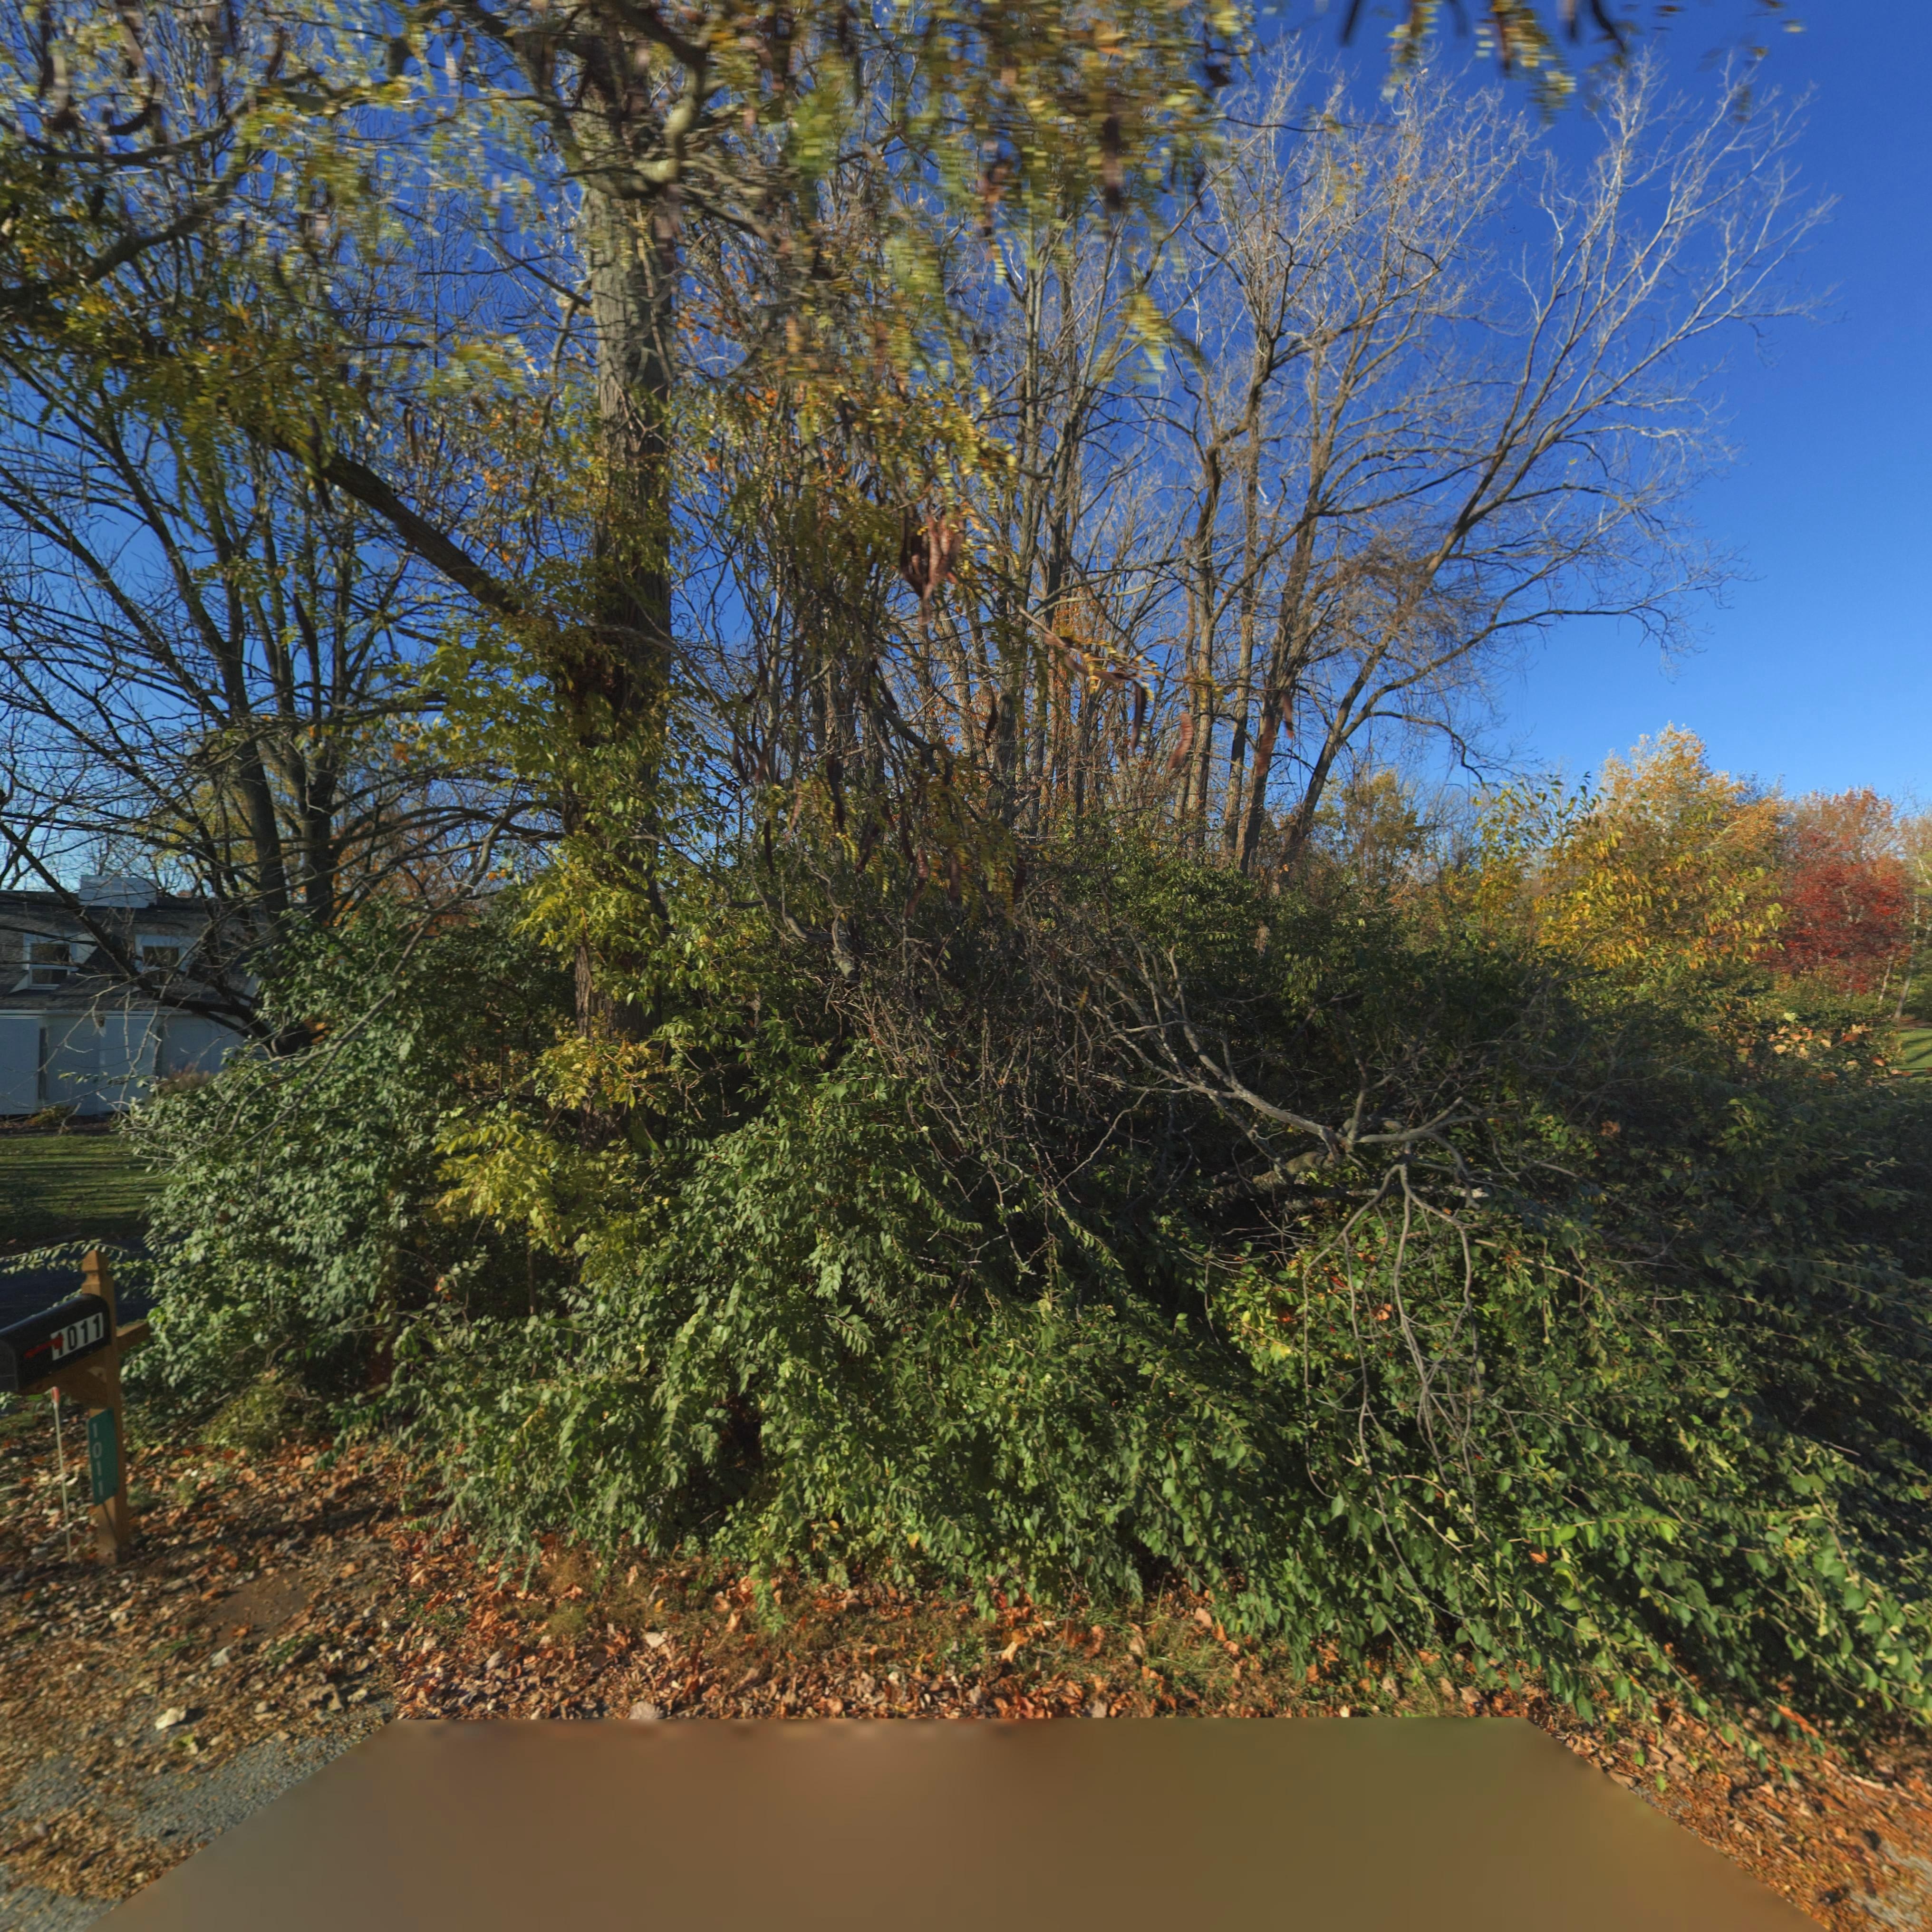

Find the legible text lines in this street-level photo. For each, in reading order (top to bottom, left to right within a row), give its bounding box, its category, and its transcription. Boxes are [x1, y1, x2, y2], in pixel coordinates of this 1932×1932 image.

[53, 1312, 103, 1359] StreetNumber: 1011
[89, 1420, 108, 1500] StreetNumber: 1011